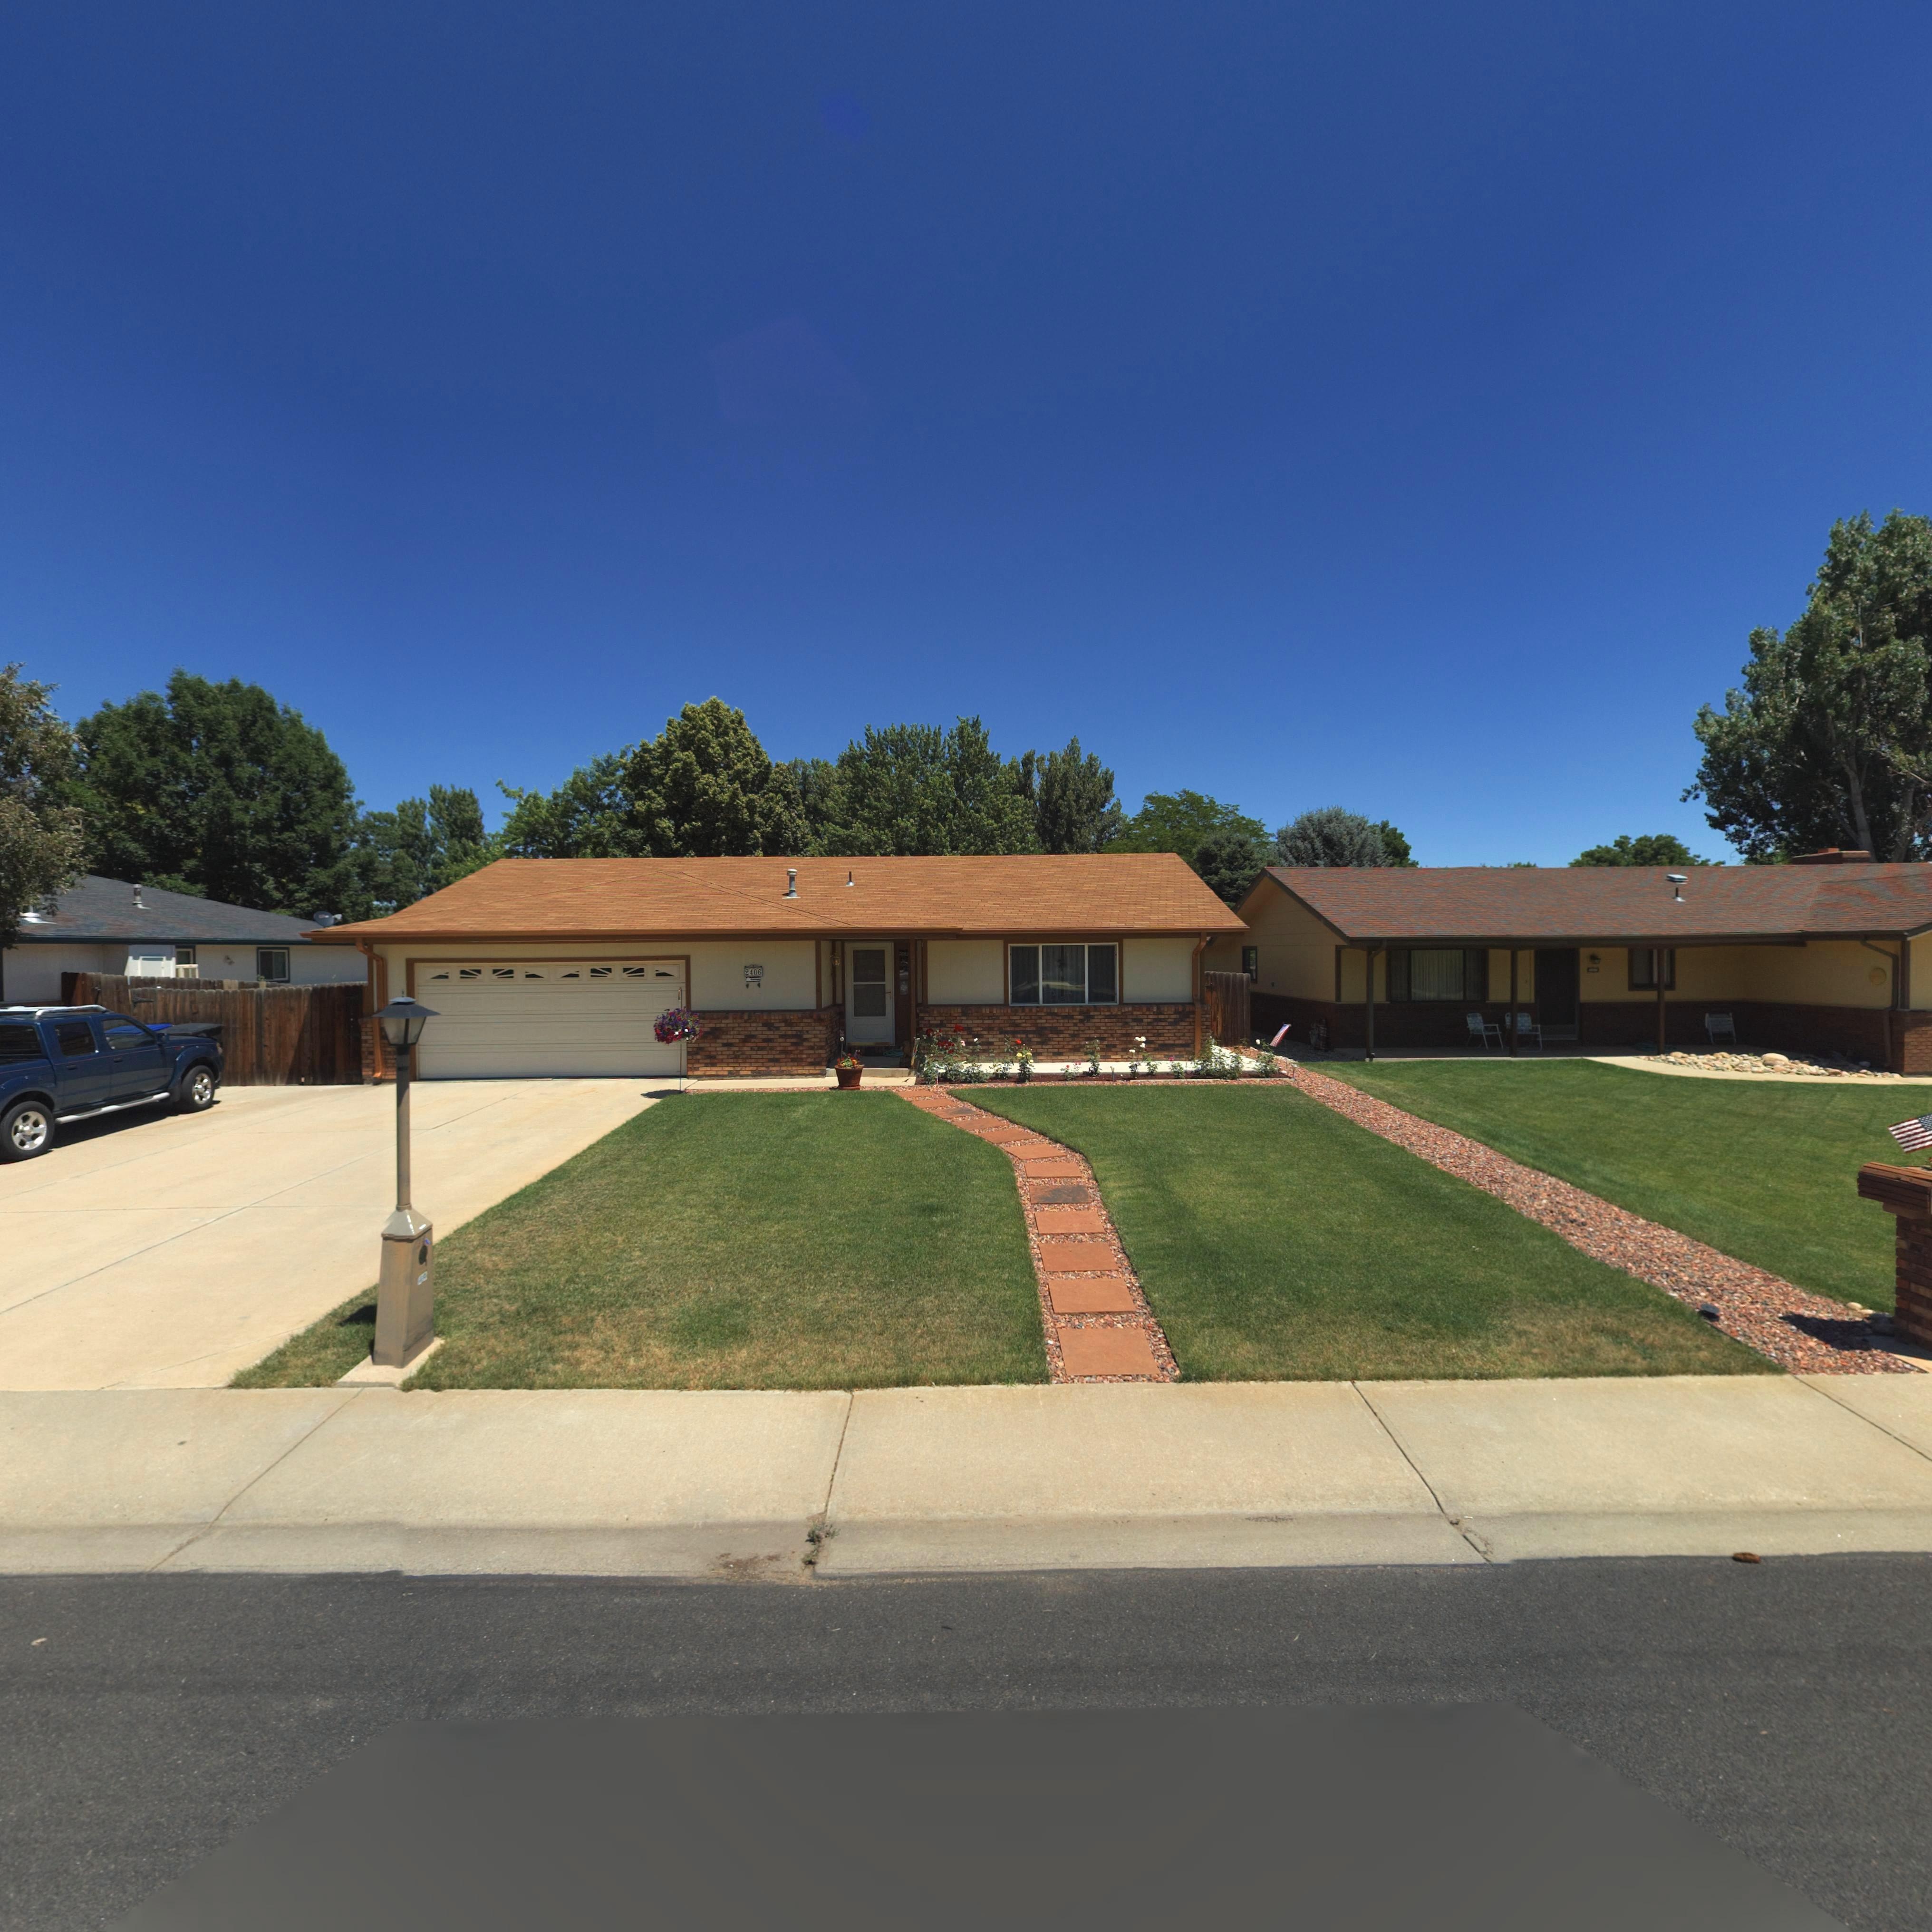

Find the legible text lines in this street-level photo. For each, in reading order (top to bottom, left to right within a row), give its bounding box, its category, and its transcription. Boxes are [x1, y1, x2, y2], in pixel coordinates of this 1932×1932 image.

[744, 968, 761, 975] StreetNumber: 2406